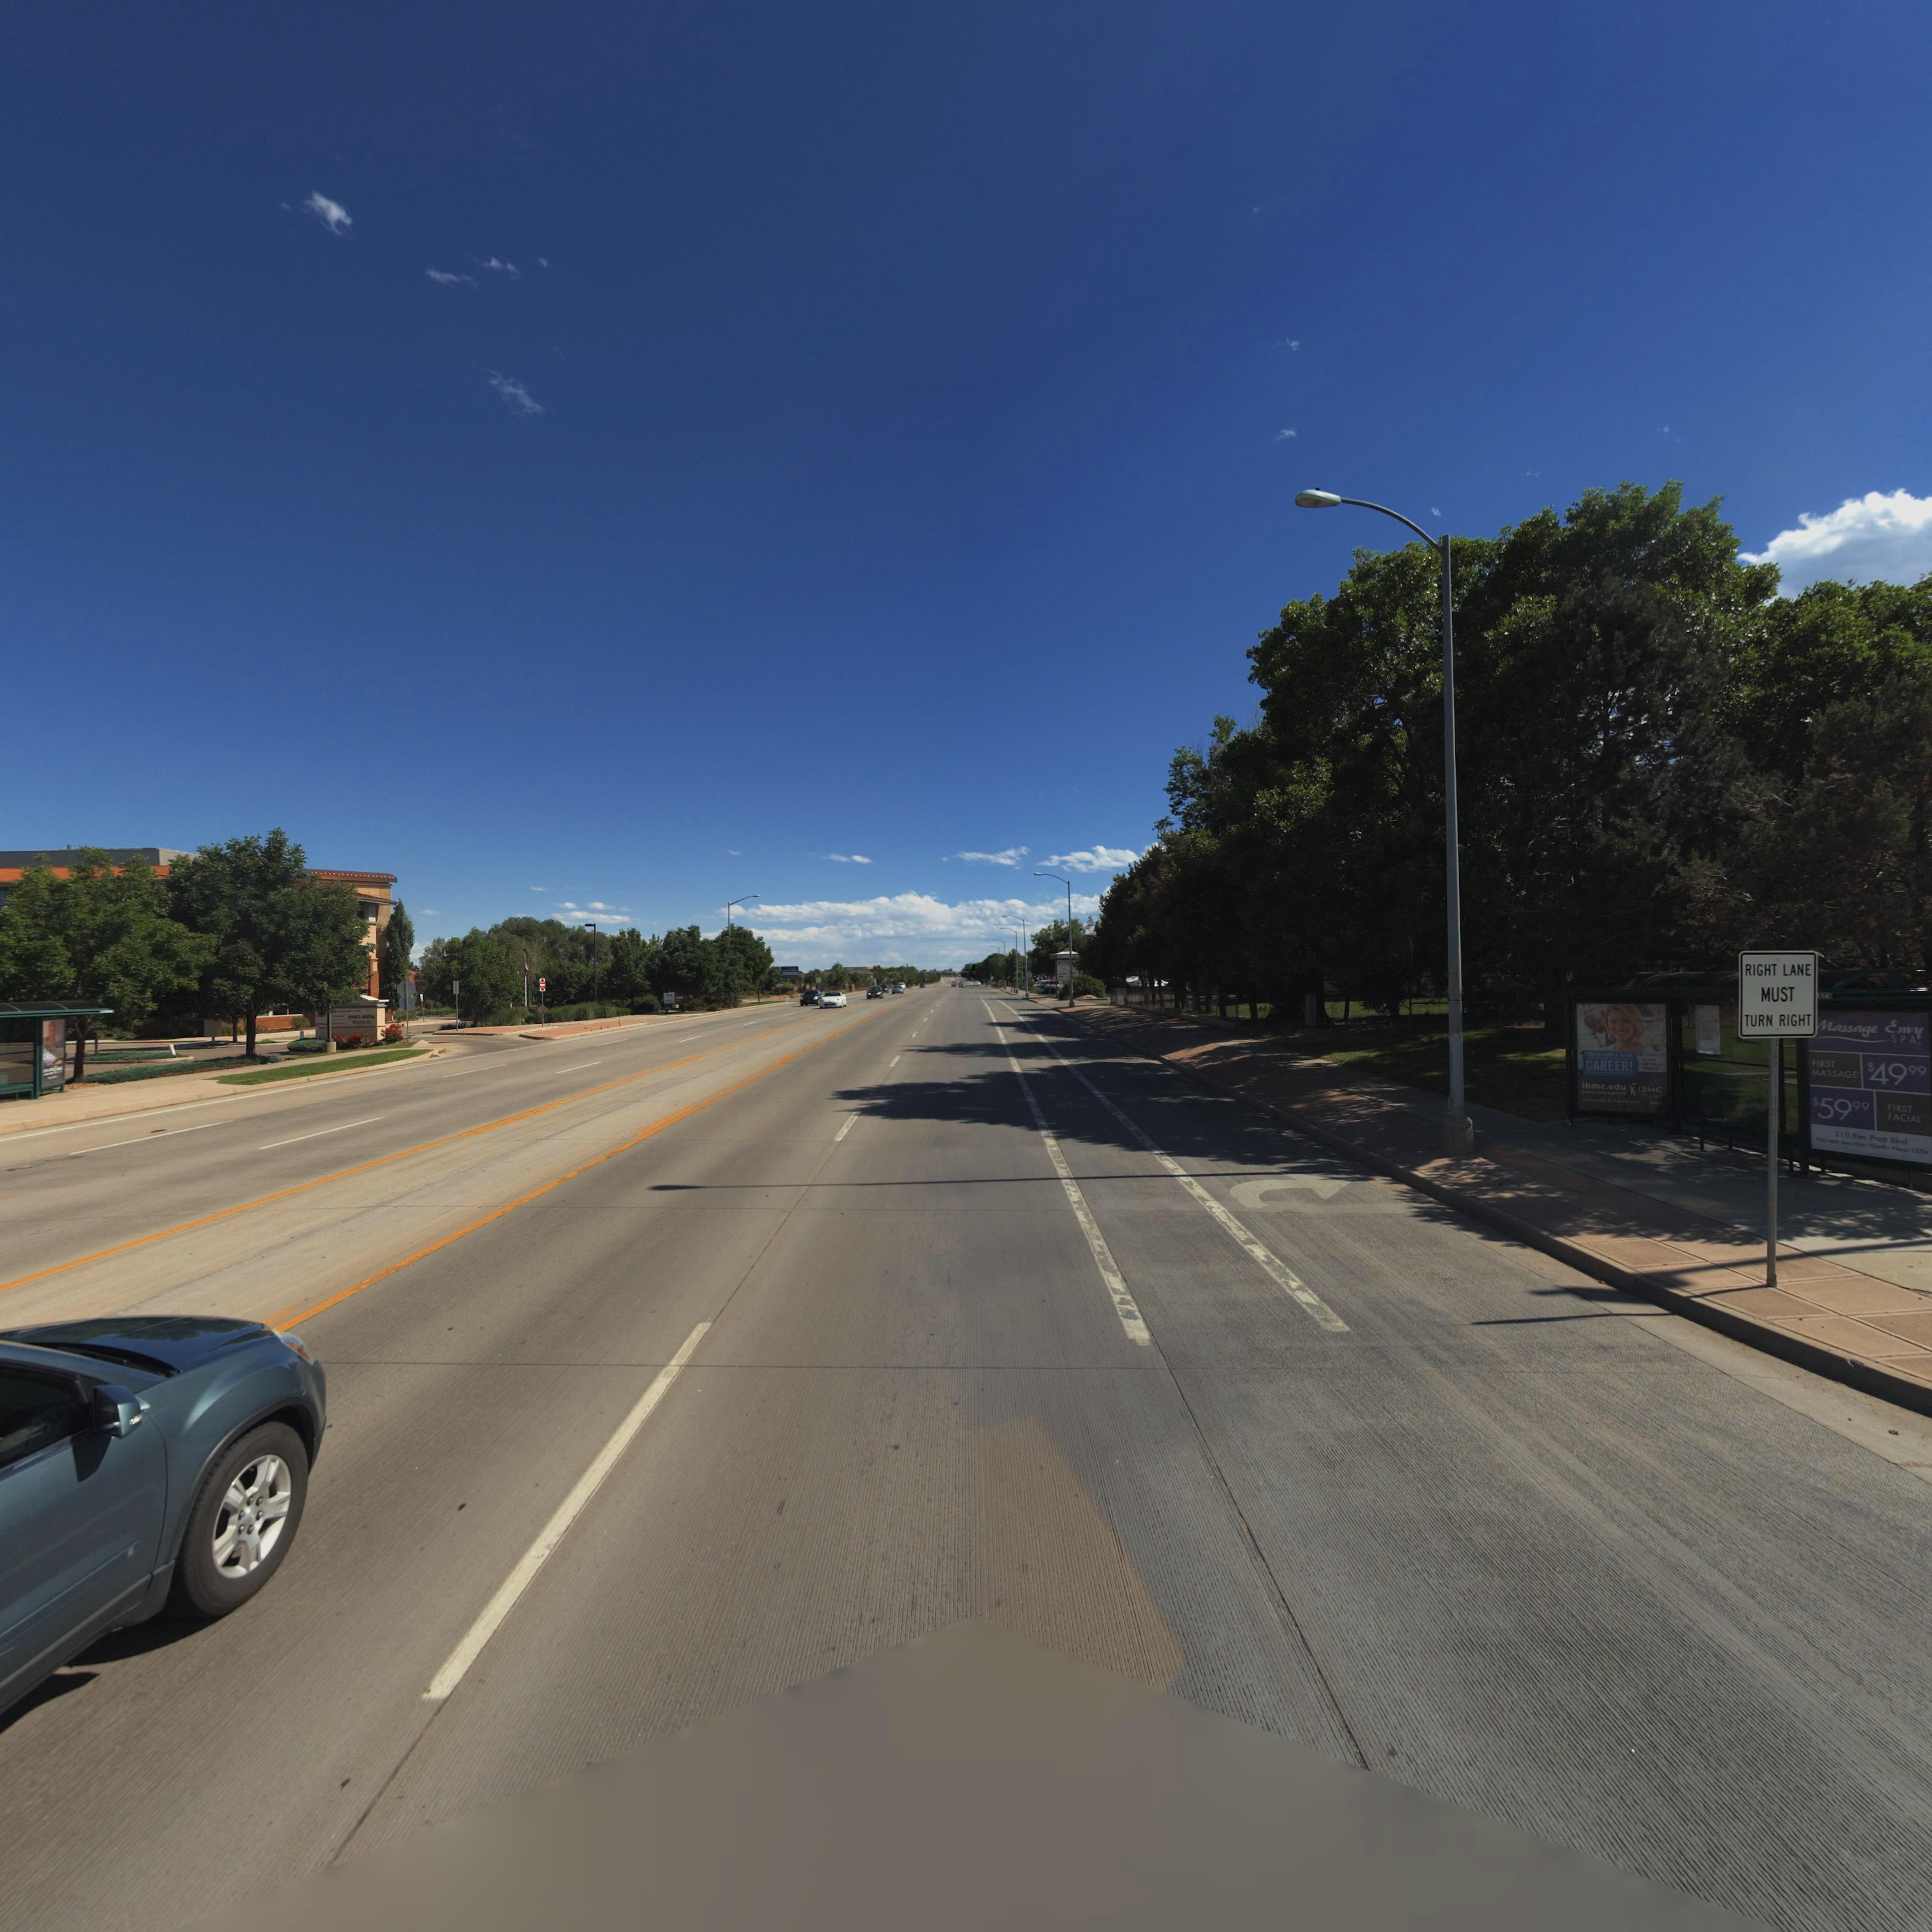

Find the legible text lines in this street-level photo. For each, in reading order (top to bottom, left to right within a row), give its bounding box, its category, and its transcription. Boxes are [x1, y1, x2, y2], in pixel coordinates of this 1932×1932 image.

[347, 1014, 375, 1019] BusinessName: ***T* DENTAL